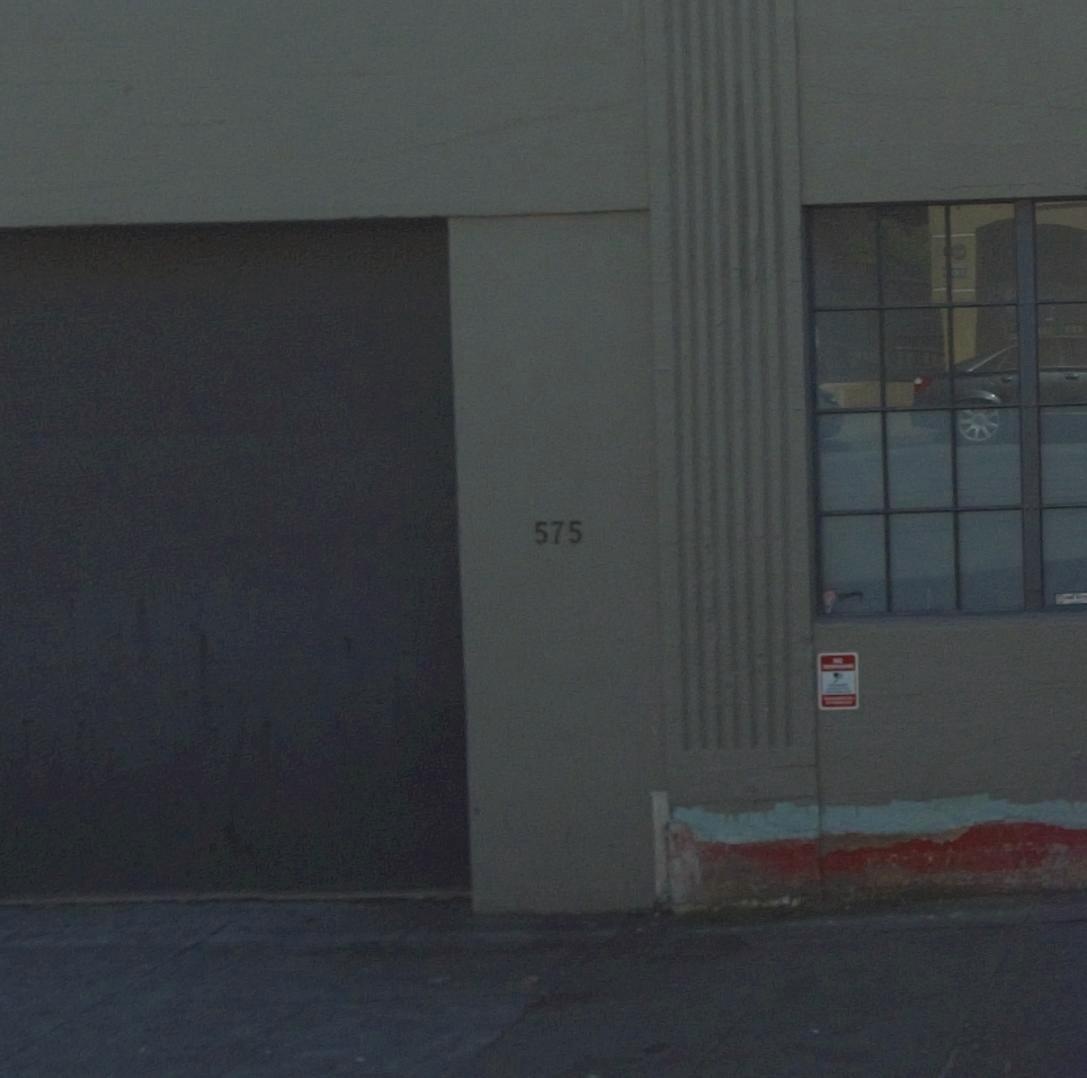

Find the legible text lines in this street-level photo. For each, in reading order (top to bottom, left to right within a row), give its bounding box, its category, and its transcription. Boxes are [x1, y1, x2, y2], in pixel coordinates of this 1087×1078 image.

[533, 518, 584, 548] StreetNumber: 575